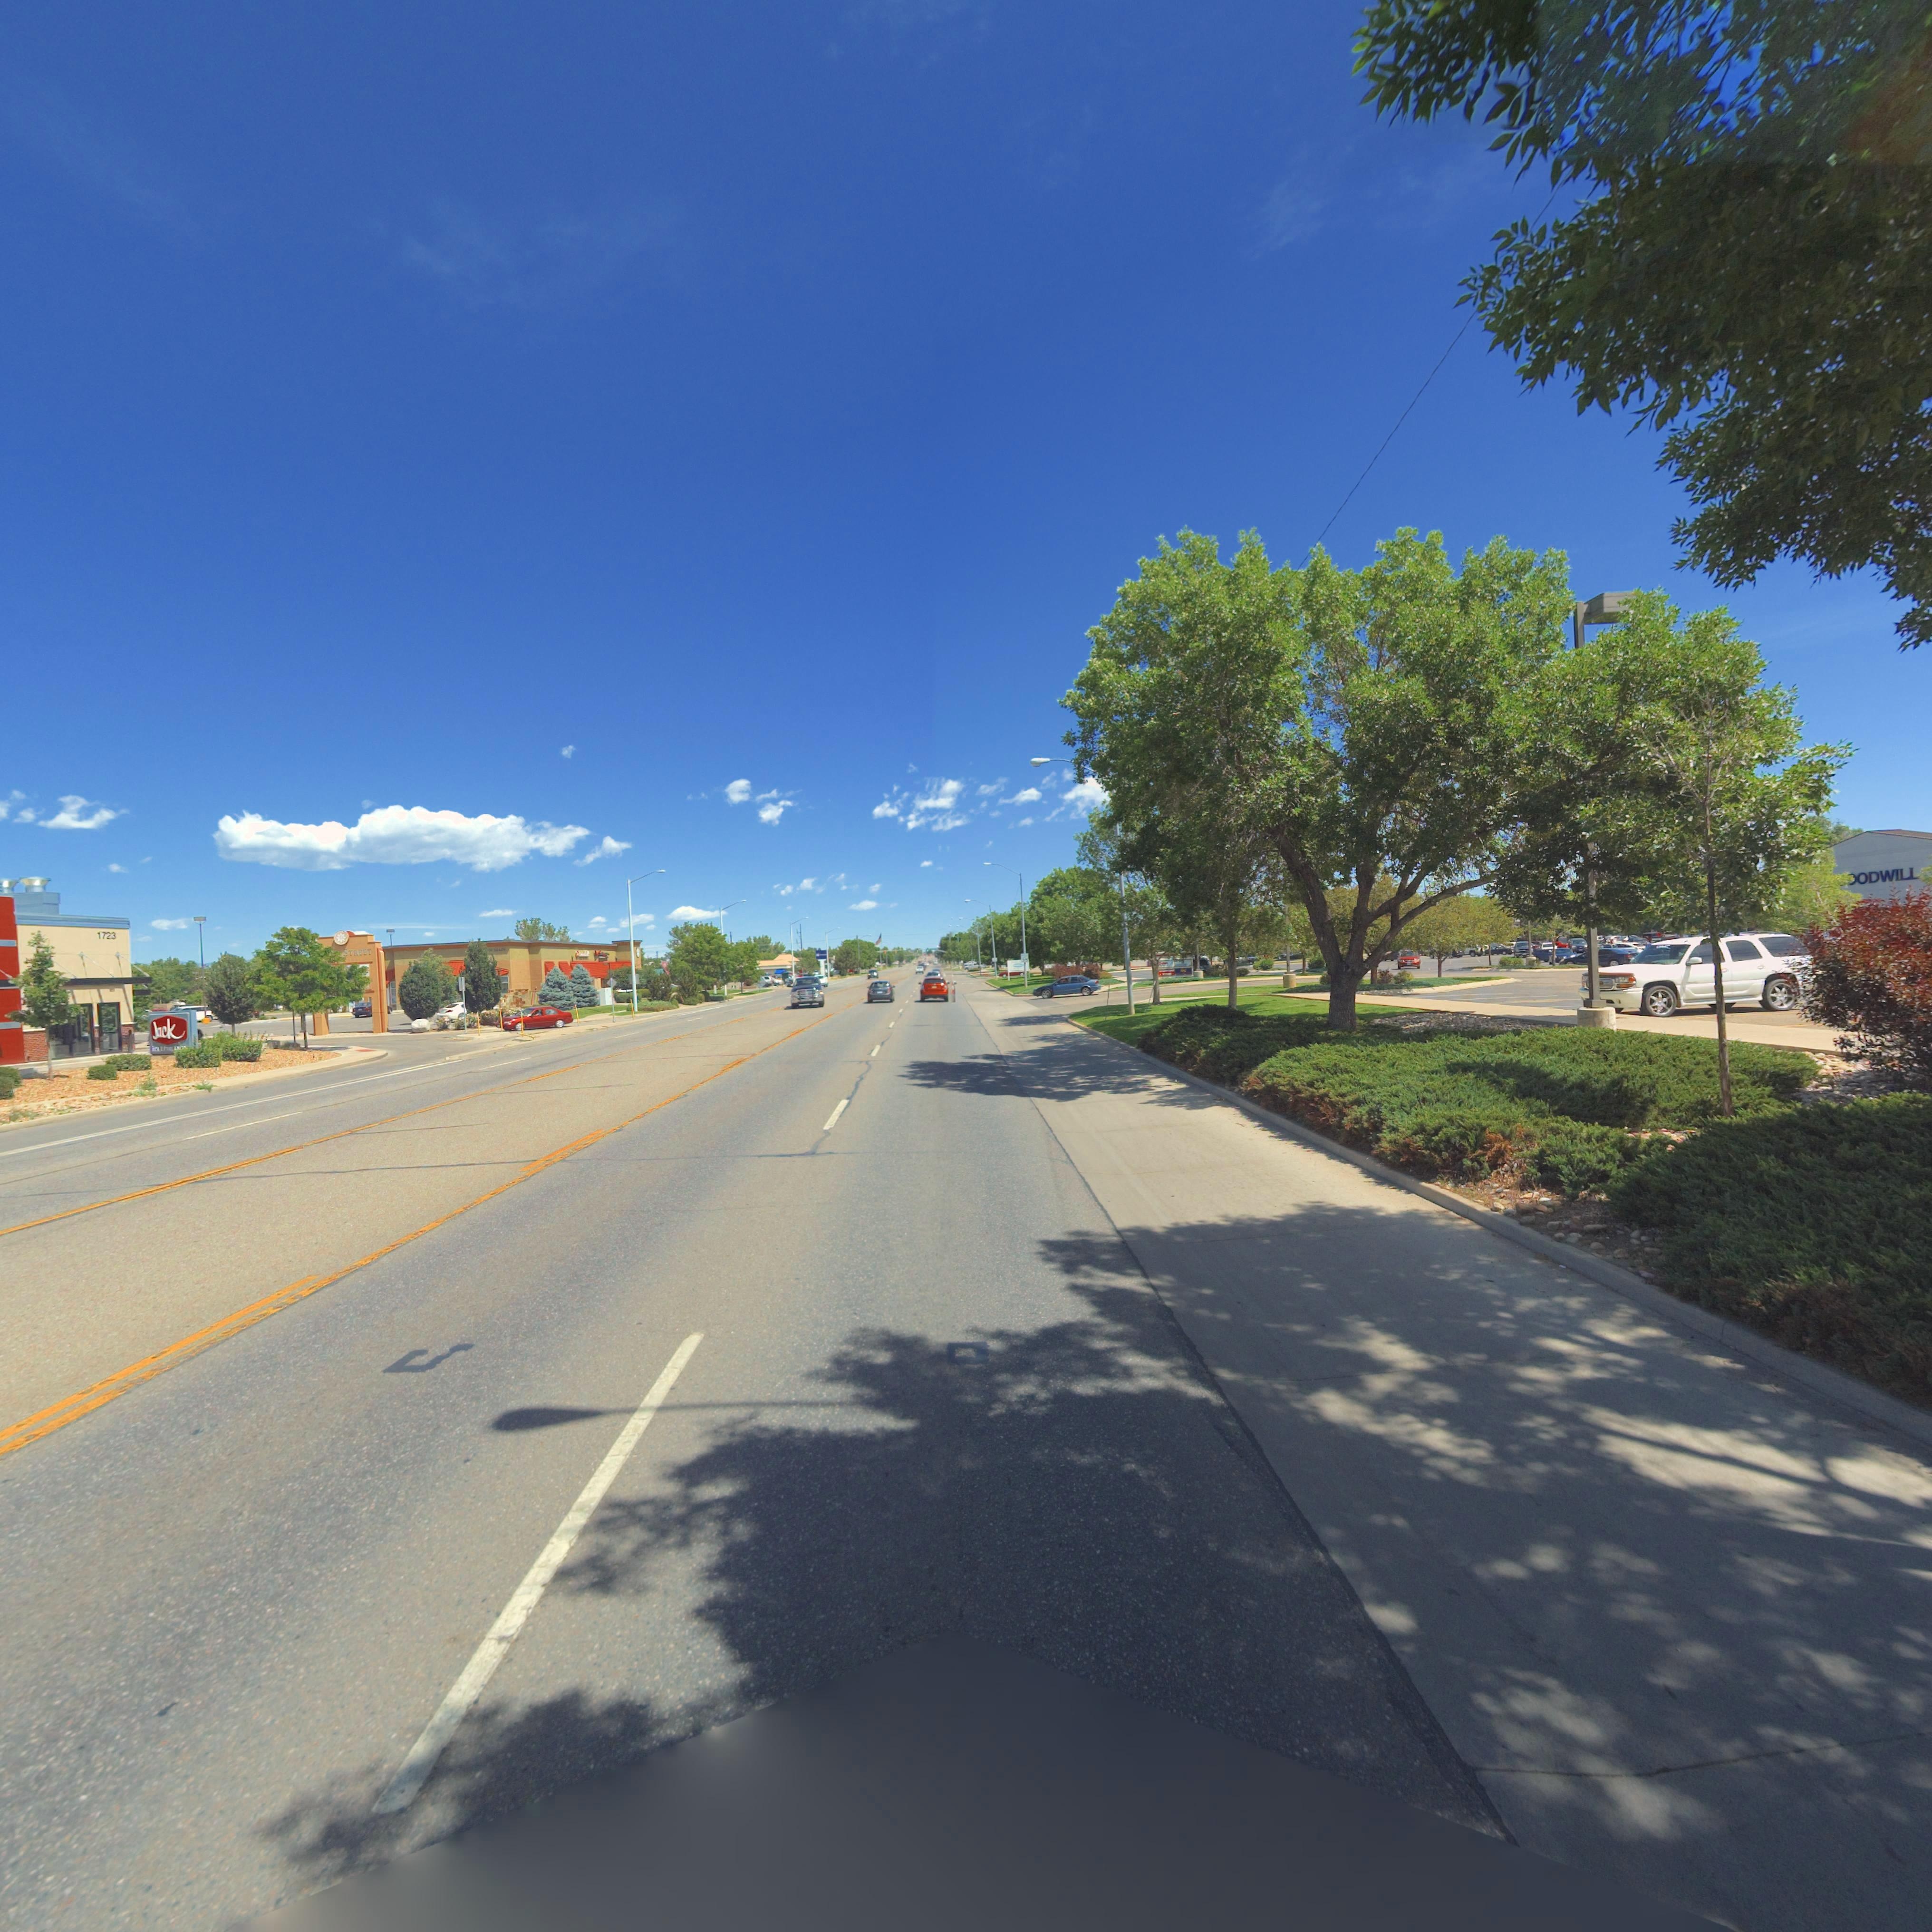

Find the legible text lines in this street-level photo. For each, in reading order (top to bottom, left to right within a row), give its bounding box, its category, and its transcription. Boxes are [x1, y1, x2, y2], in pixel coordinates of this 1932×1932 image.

[1845, 867, 1920, 885] BusinessName: *ODWILL
[96, 931, 116, 940] StreetNumber: 1723
[493, 947, 506, 952] StreetName: M***
[152, 1017, 186, 1040] BusinessName: Jack
[152, 1045, 186, 1052] BusinessName: i* *he ***